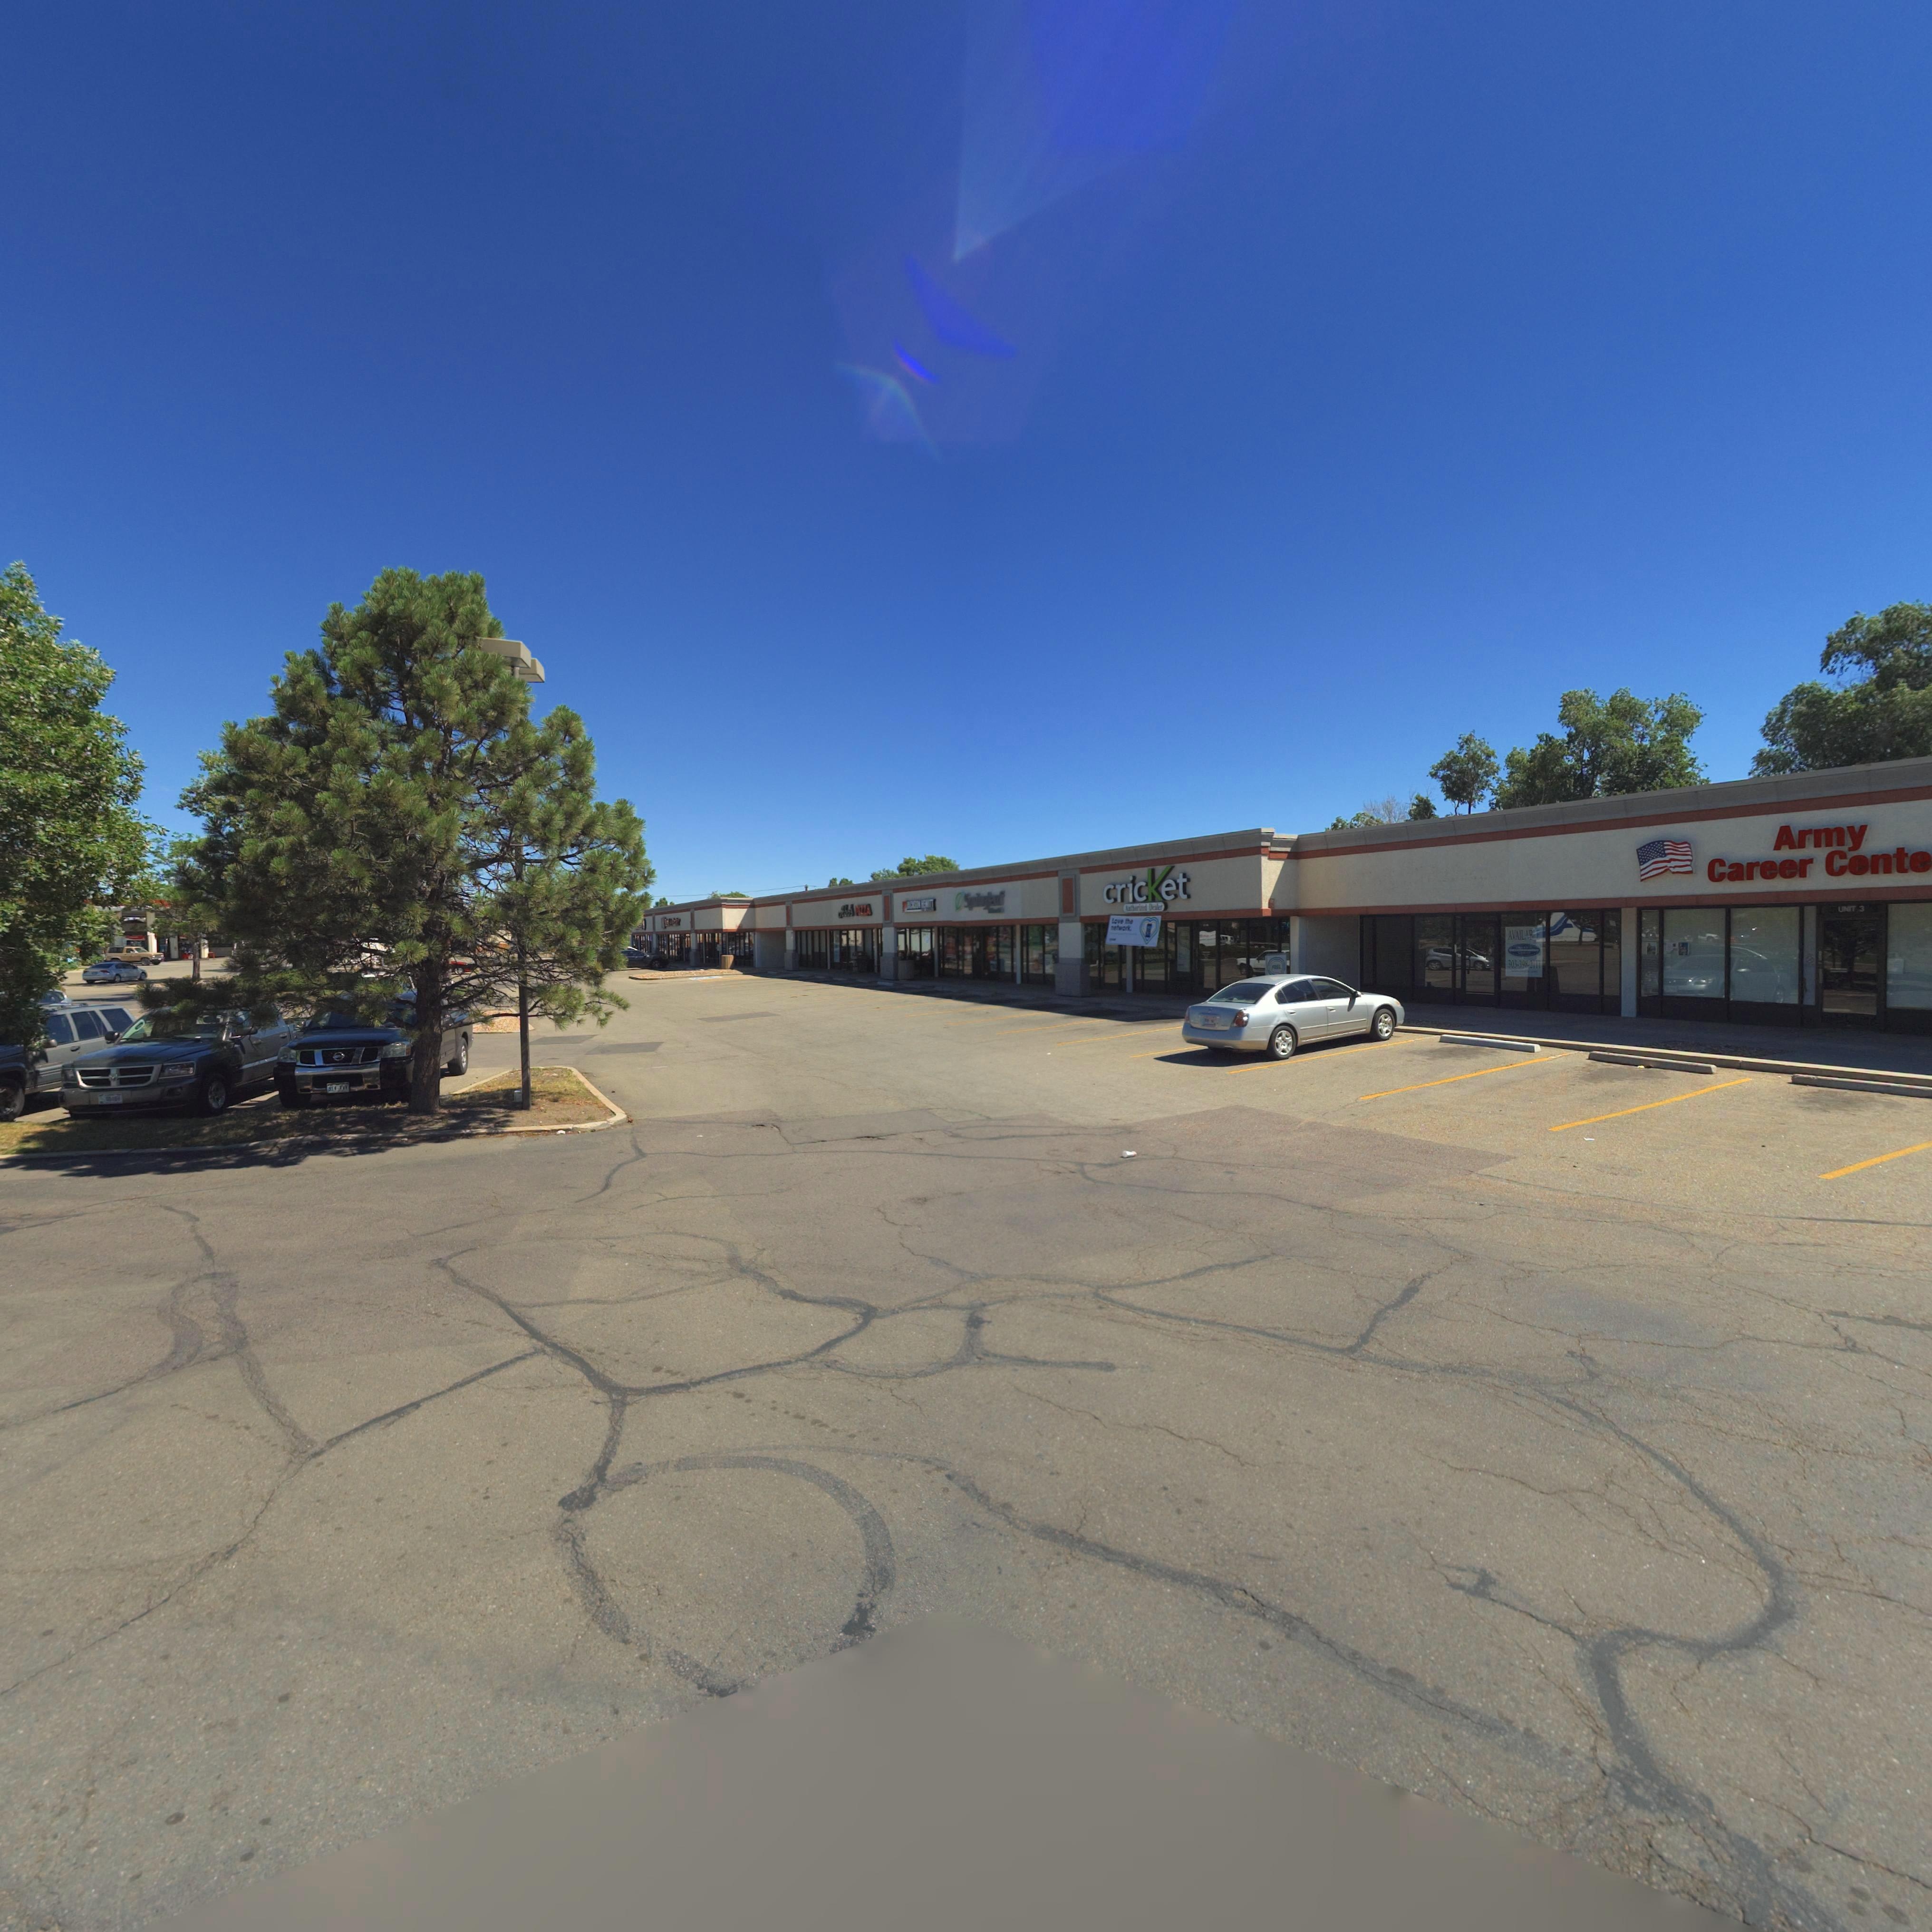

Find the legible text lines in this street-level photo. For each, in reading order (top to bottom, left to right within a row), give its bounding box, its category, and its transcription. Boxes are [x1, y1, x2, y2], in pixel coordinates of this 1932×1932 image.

[1772, 824, 1868, 852] BusinessName: Army
[1707, 846, 1931, 882] BusinessName: Career Cente
[1103, 865, 1188, 904] BusinessName: cricket
[838, 904, 854, 918] BusinessName: Abo's
[855, 904, 871, 916] BusinessName: PIZZA
[906, 898, 935, 909] BusinessName: JACKSON HEWITT
[963, 890, 1005, 911] BusinessName: Sp*i*gle*f
[1837, 905, 1864, 912] SecondaryUnitDesignator: UNIT 3